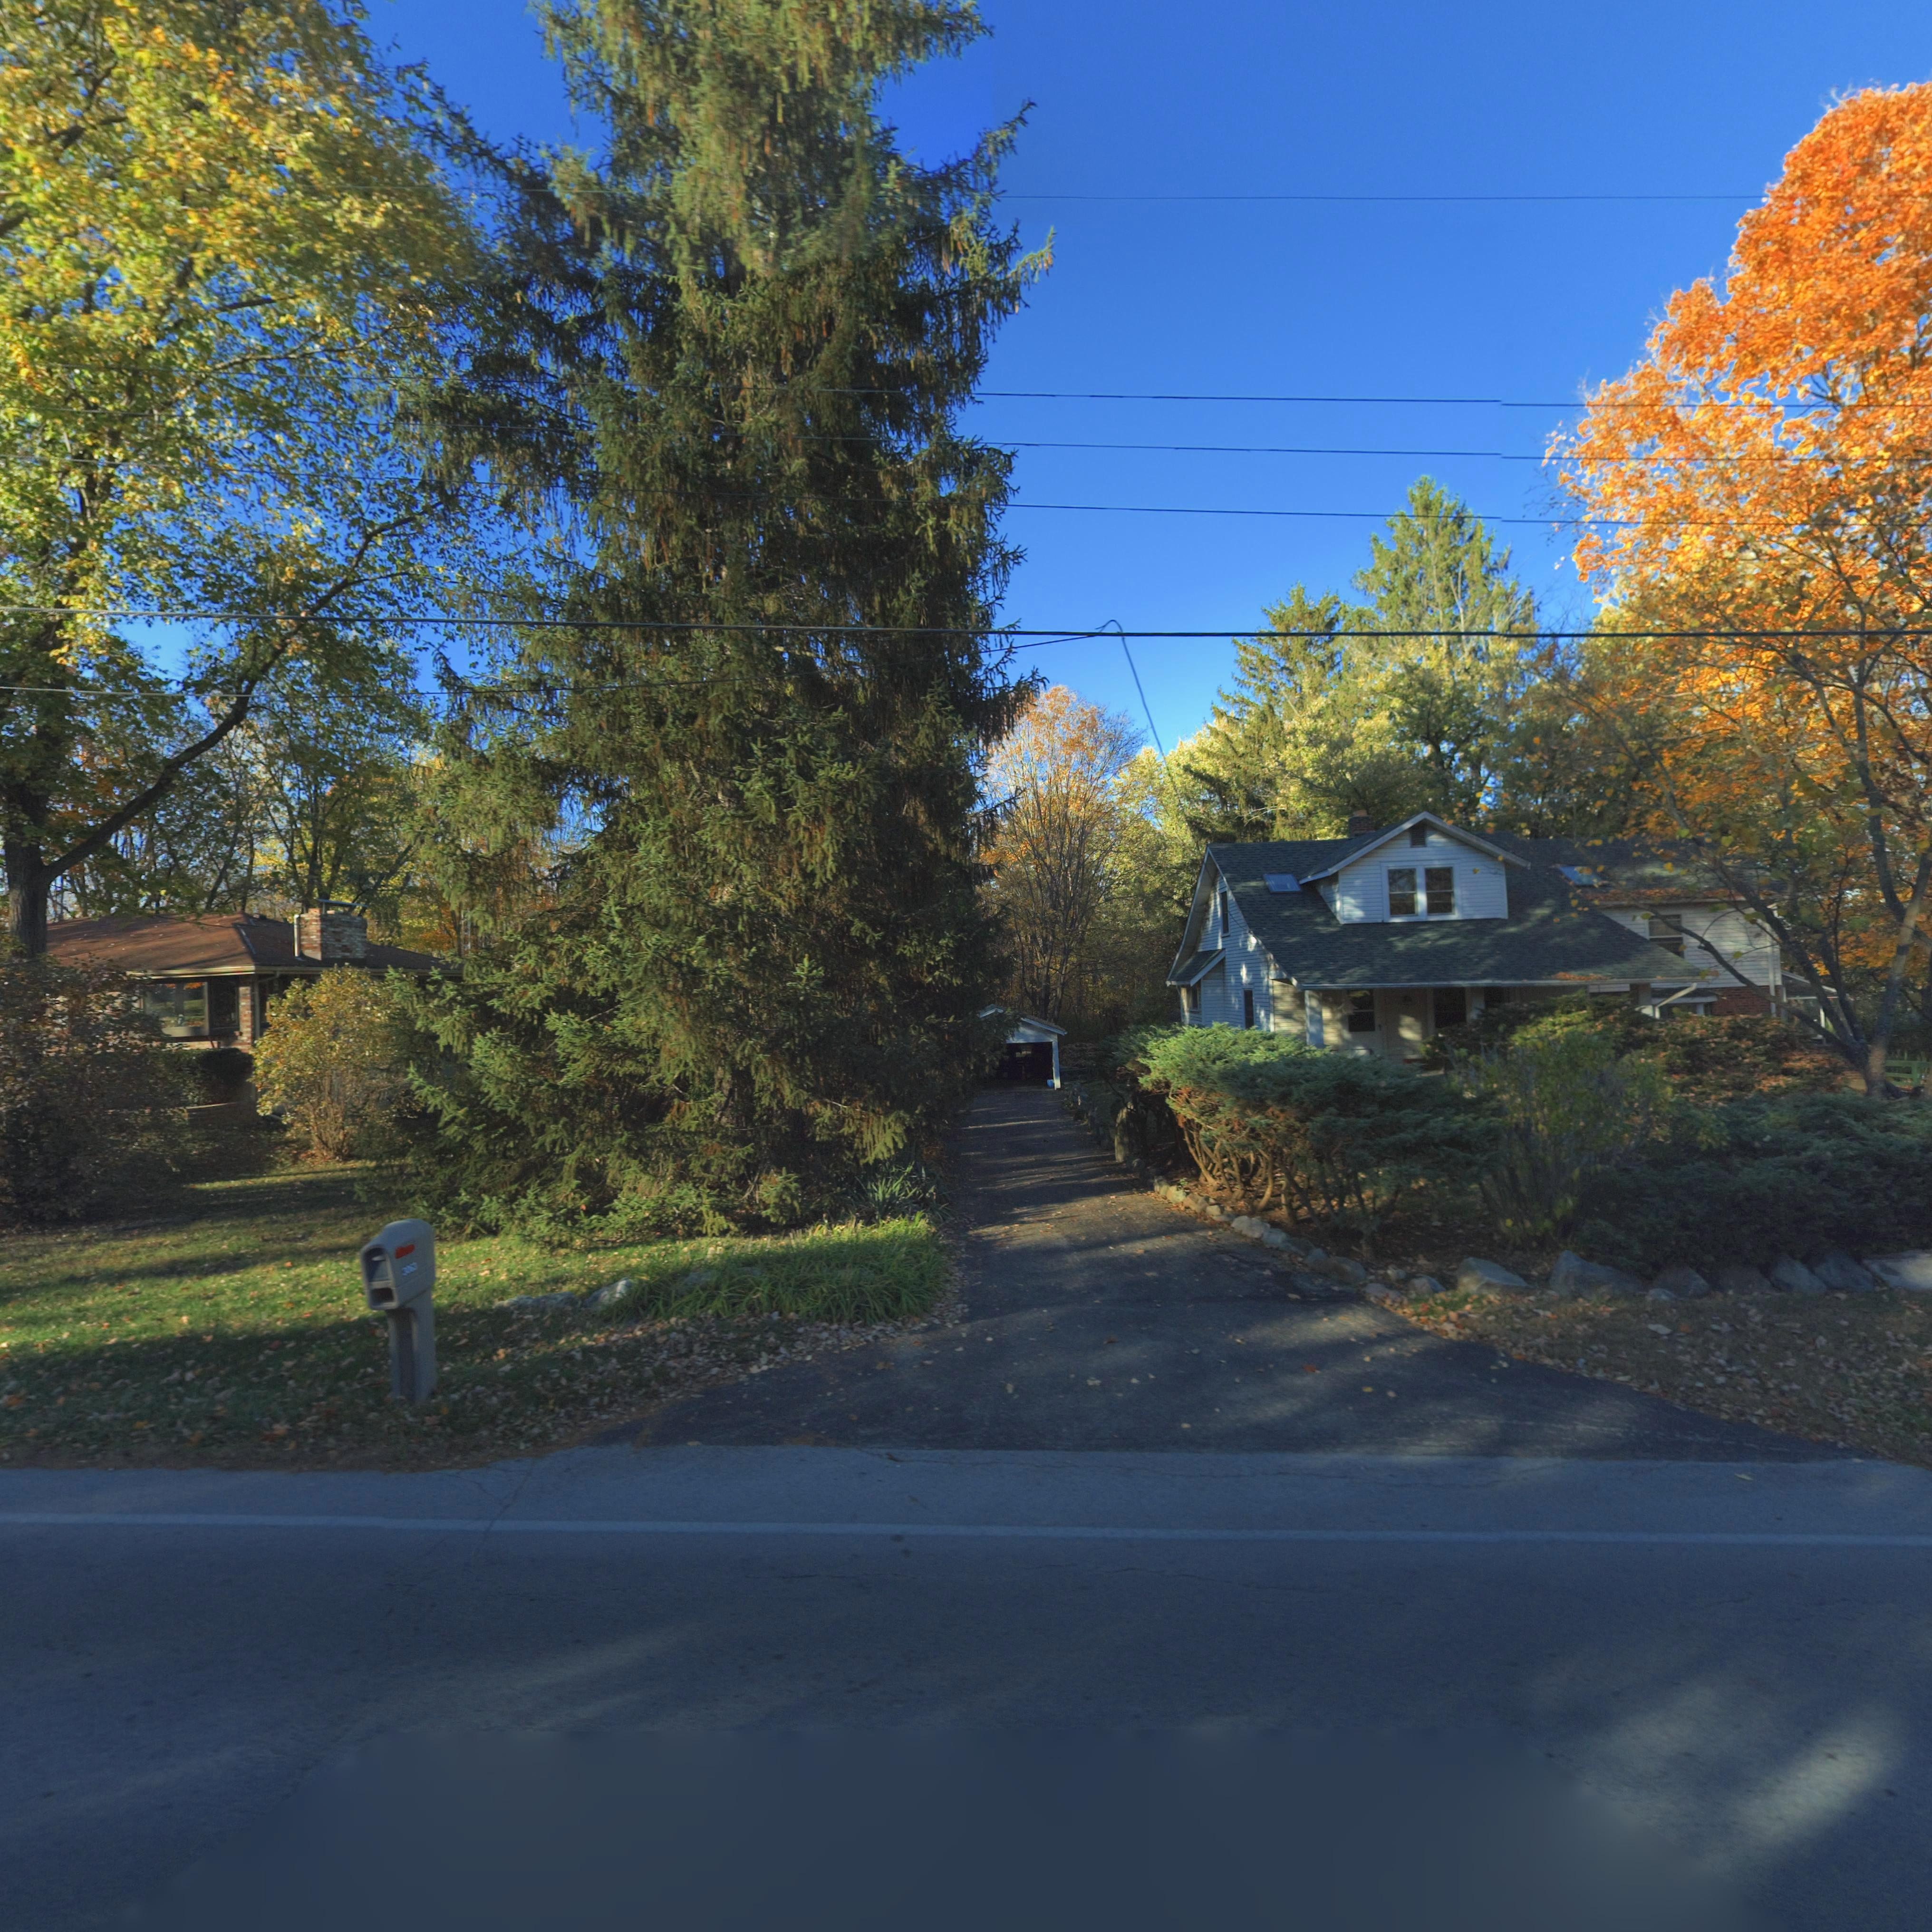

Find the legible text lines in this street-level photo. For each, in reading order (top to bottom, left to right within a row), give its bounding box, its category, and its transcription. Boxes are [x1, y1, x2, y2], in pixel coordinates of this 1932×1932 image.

[400, 1259, 419, 1277] StreetNumber: 3063